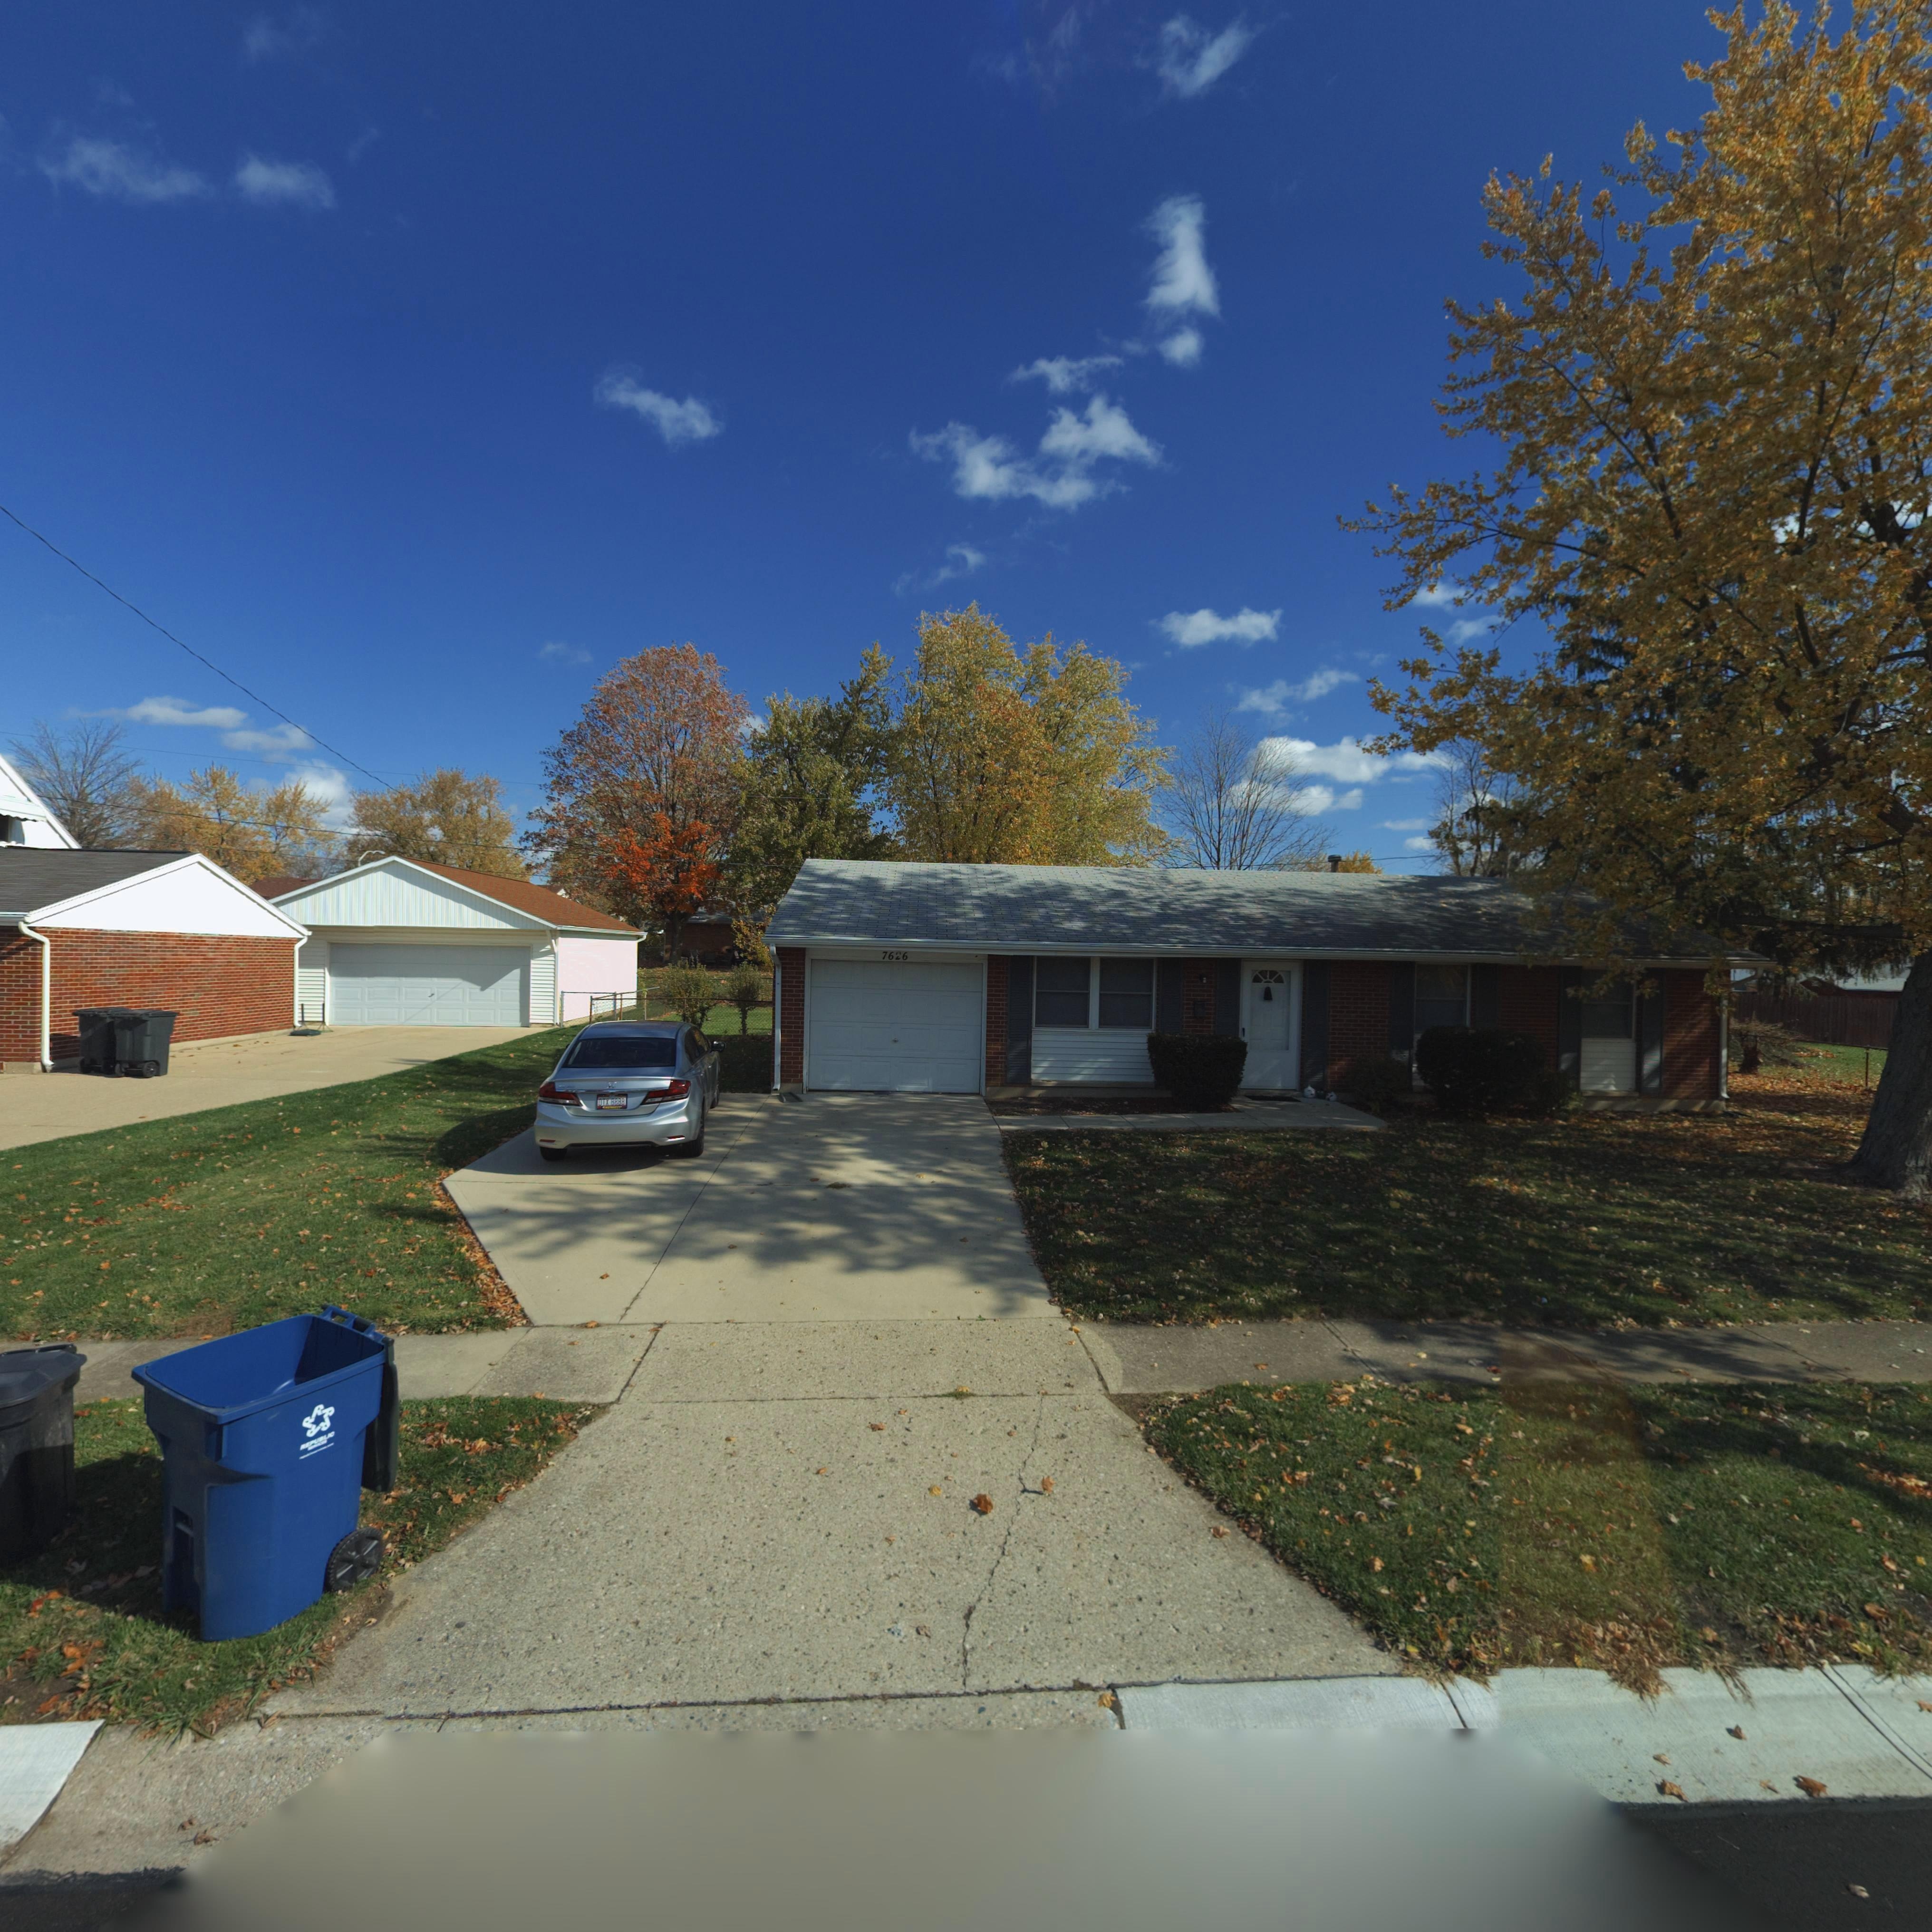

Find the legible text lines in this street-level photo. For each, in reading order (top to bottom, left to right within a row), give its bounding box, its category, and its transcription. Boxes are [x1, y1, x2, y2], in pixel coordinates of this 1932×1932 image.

[881, 951, 908, 961] StreetNumber: 7626